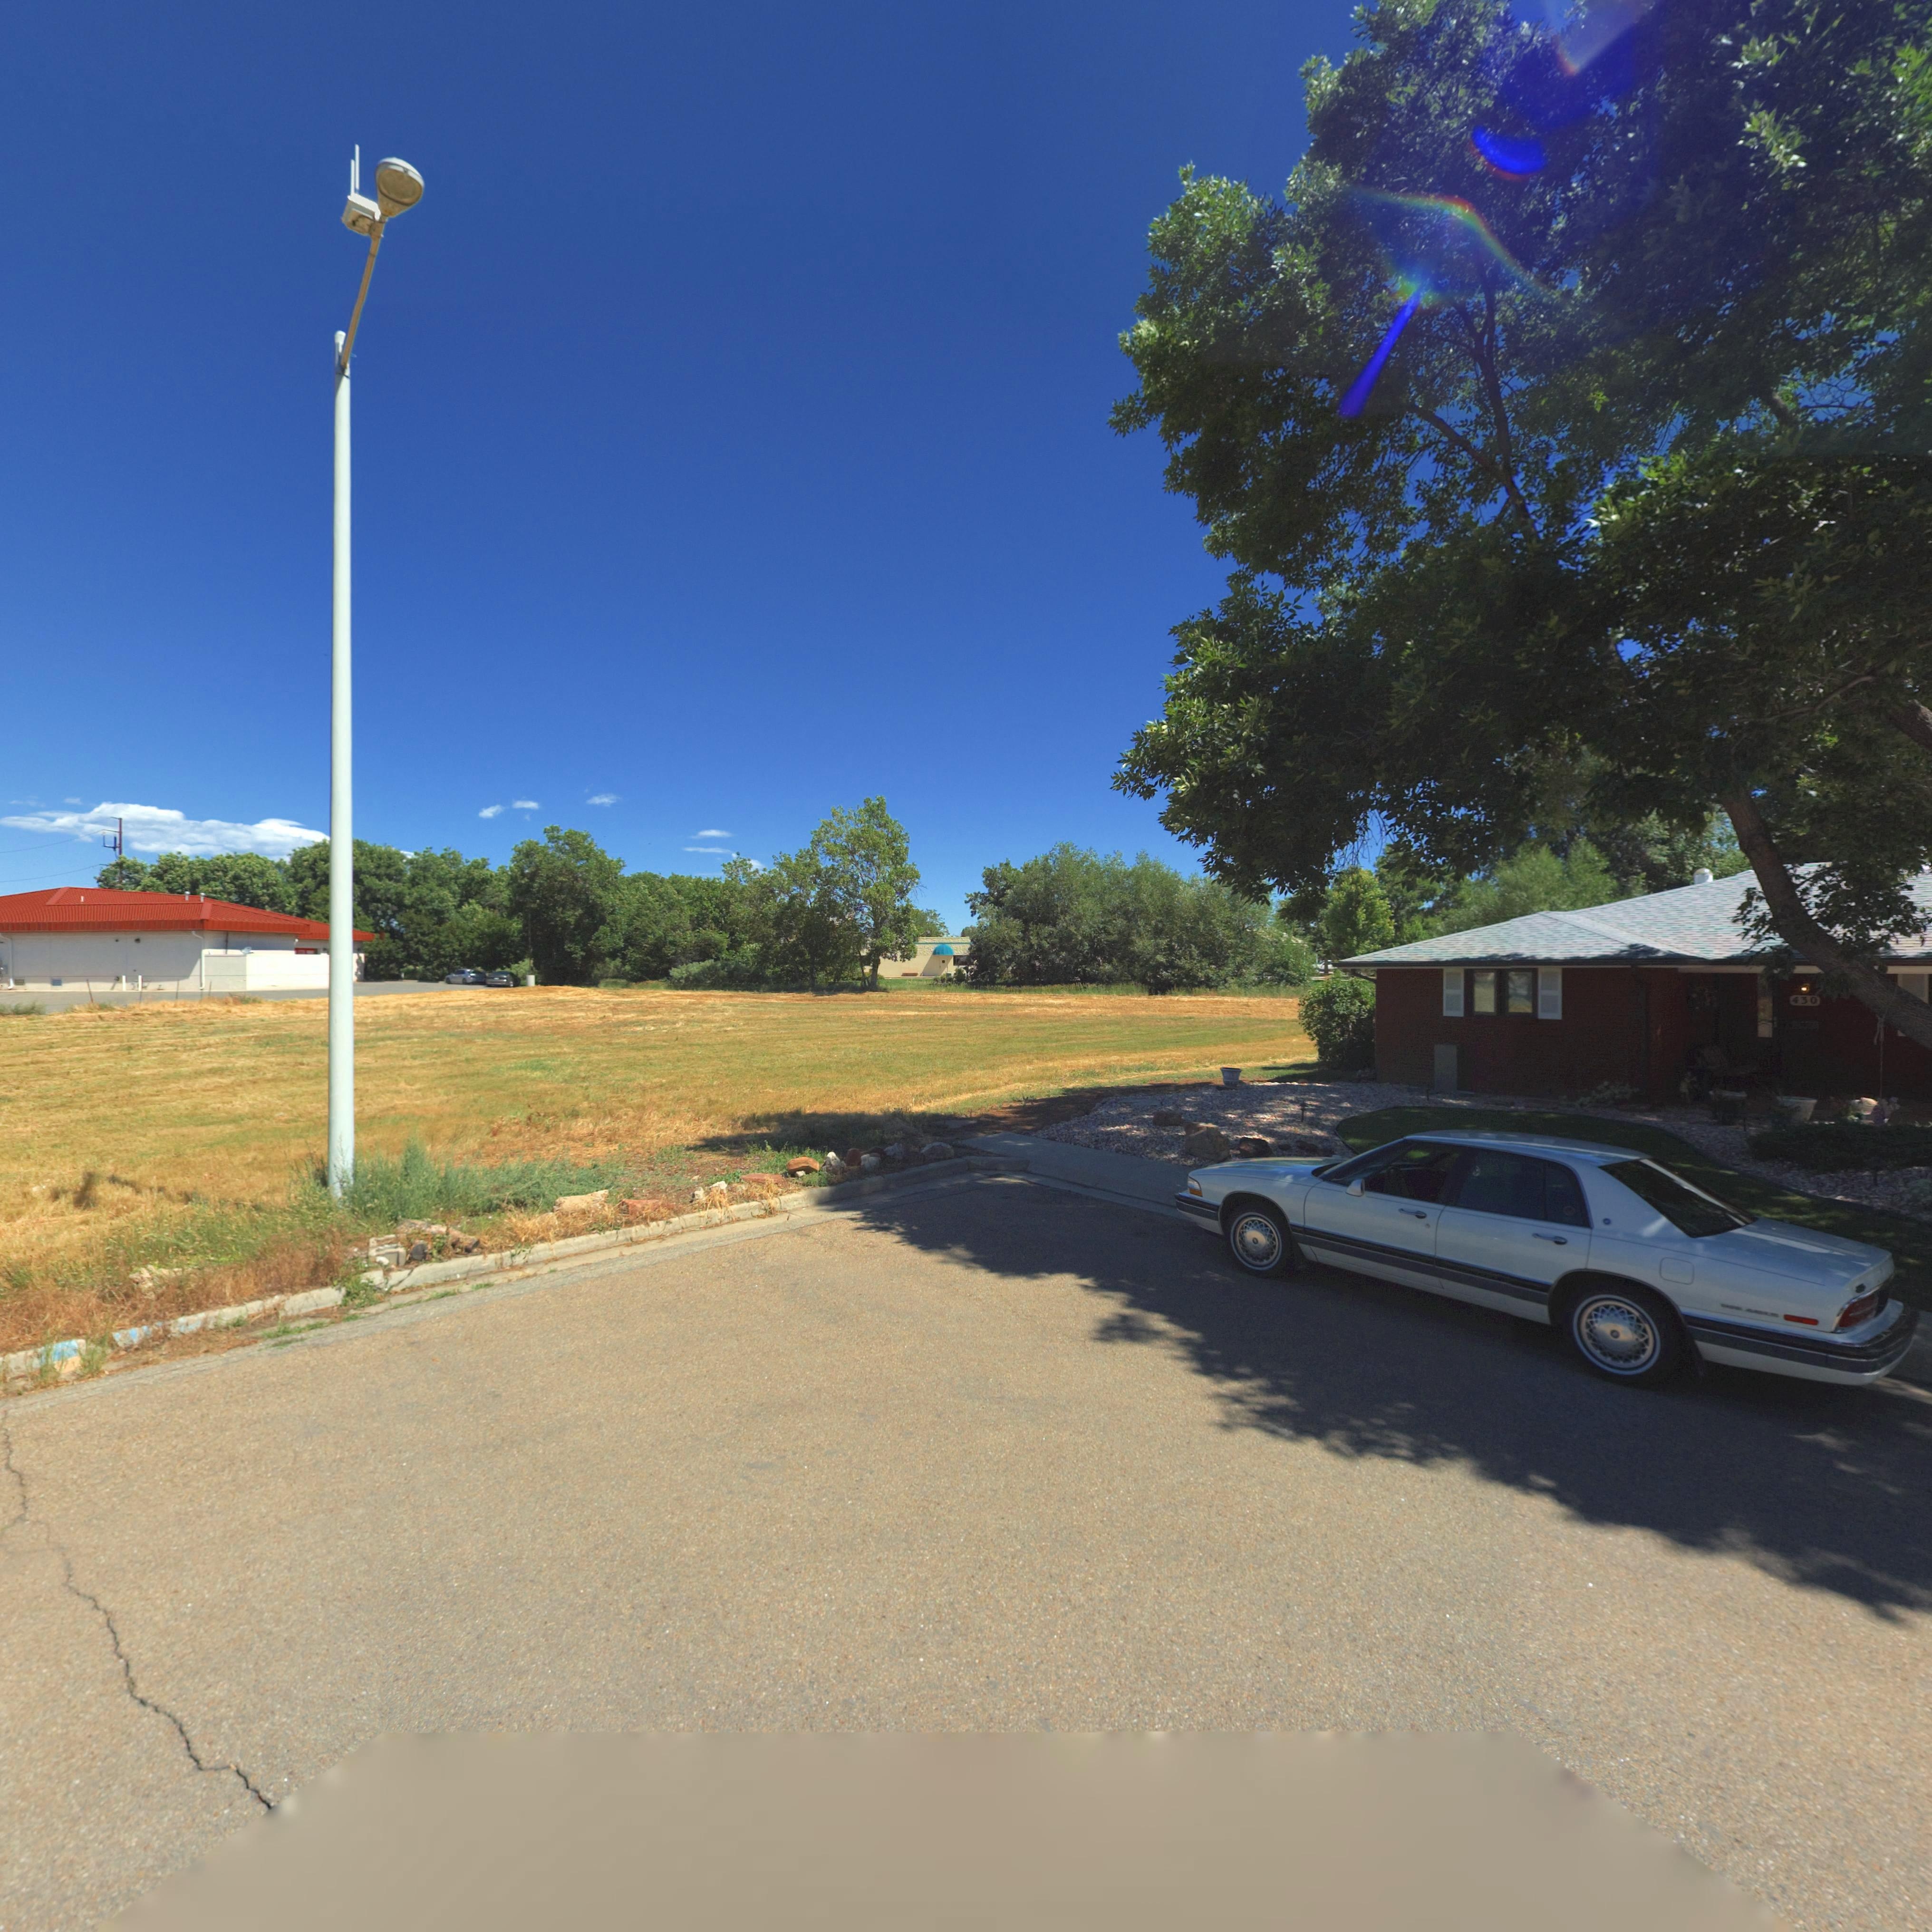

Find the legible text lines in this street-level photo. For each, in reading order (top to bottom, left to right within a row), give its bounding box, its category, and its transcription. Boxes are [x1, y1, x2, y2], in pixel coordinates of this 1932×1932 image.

[1791, 995, 1817, 1005] StreetNumber: 430